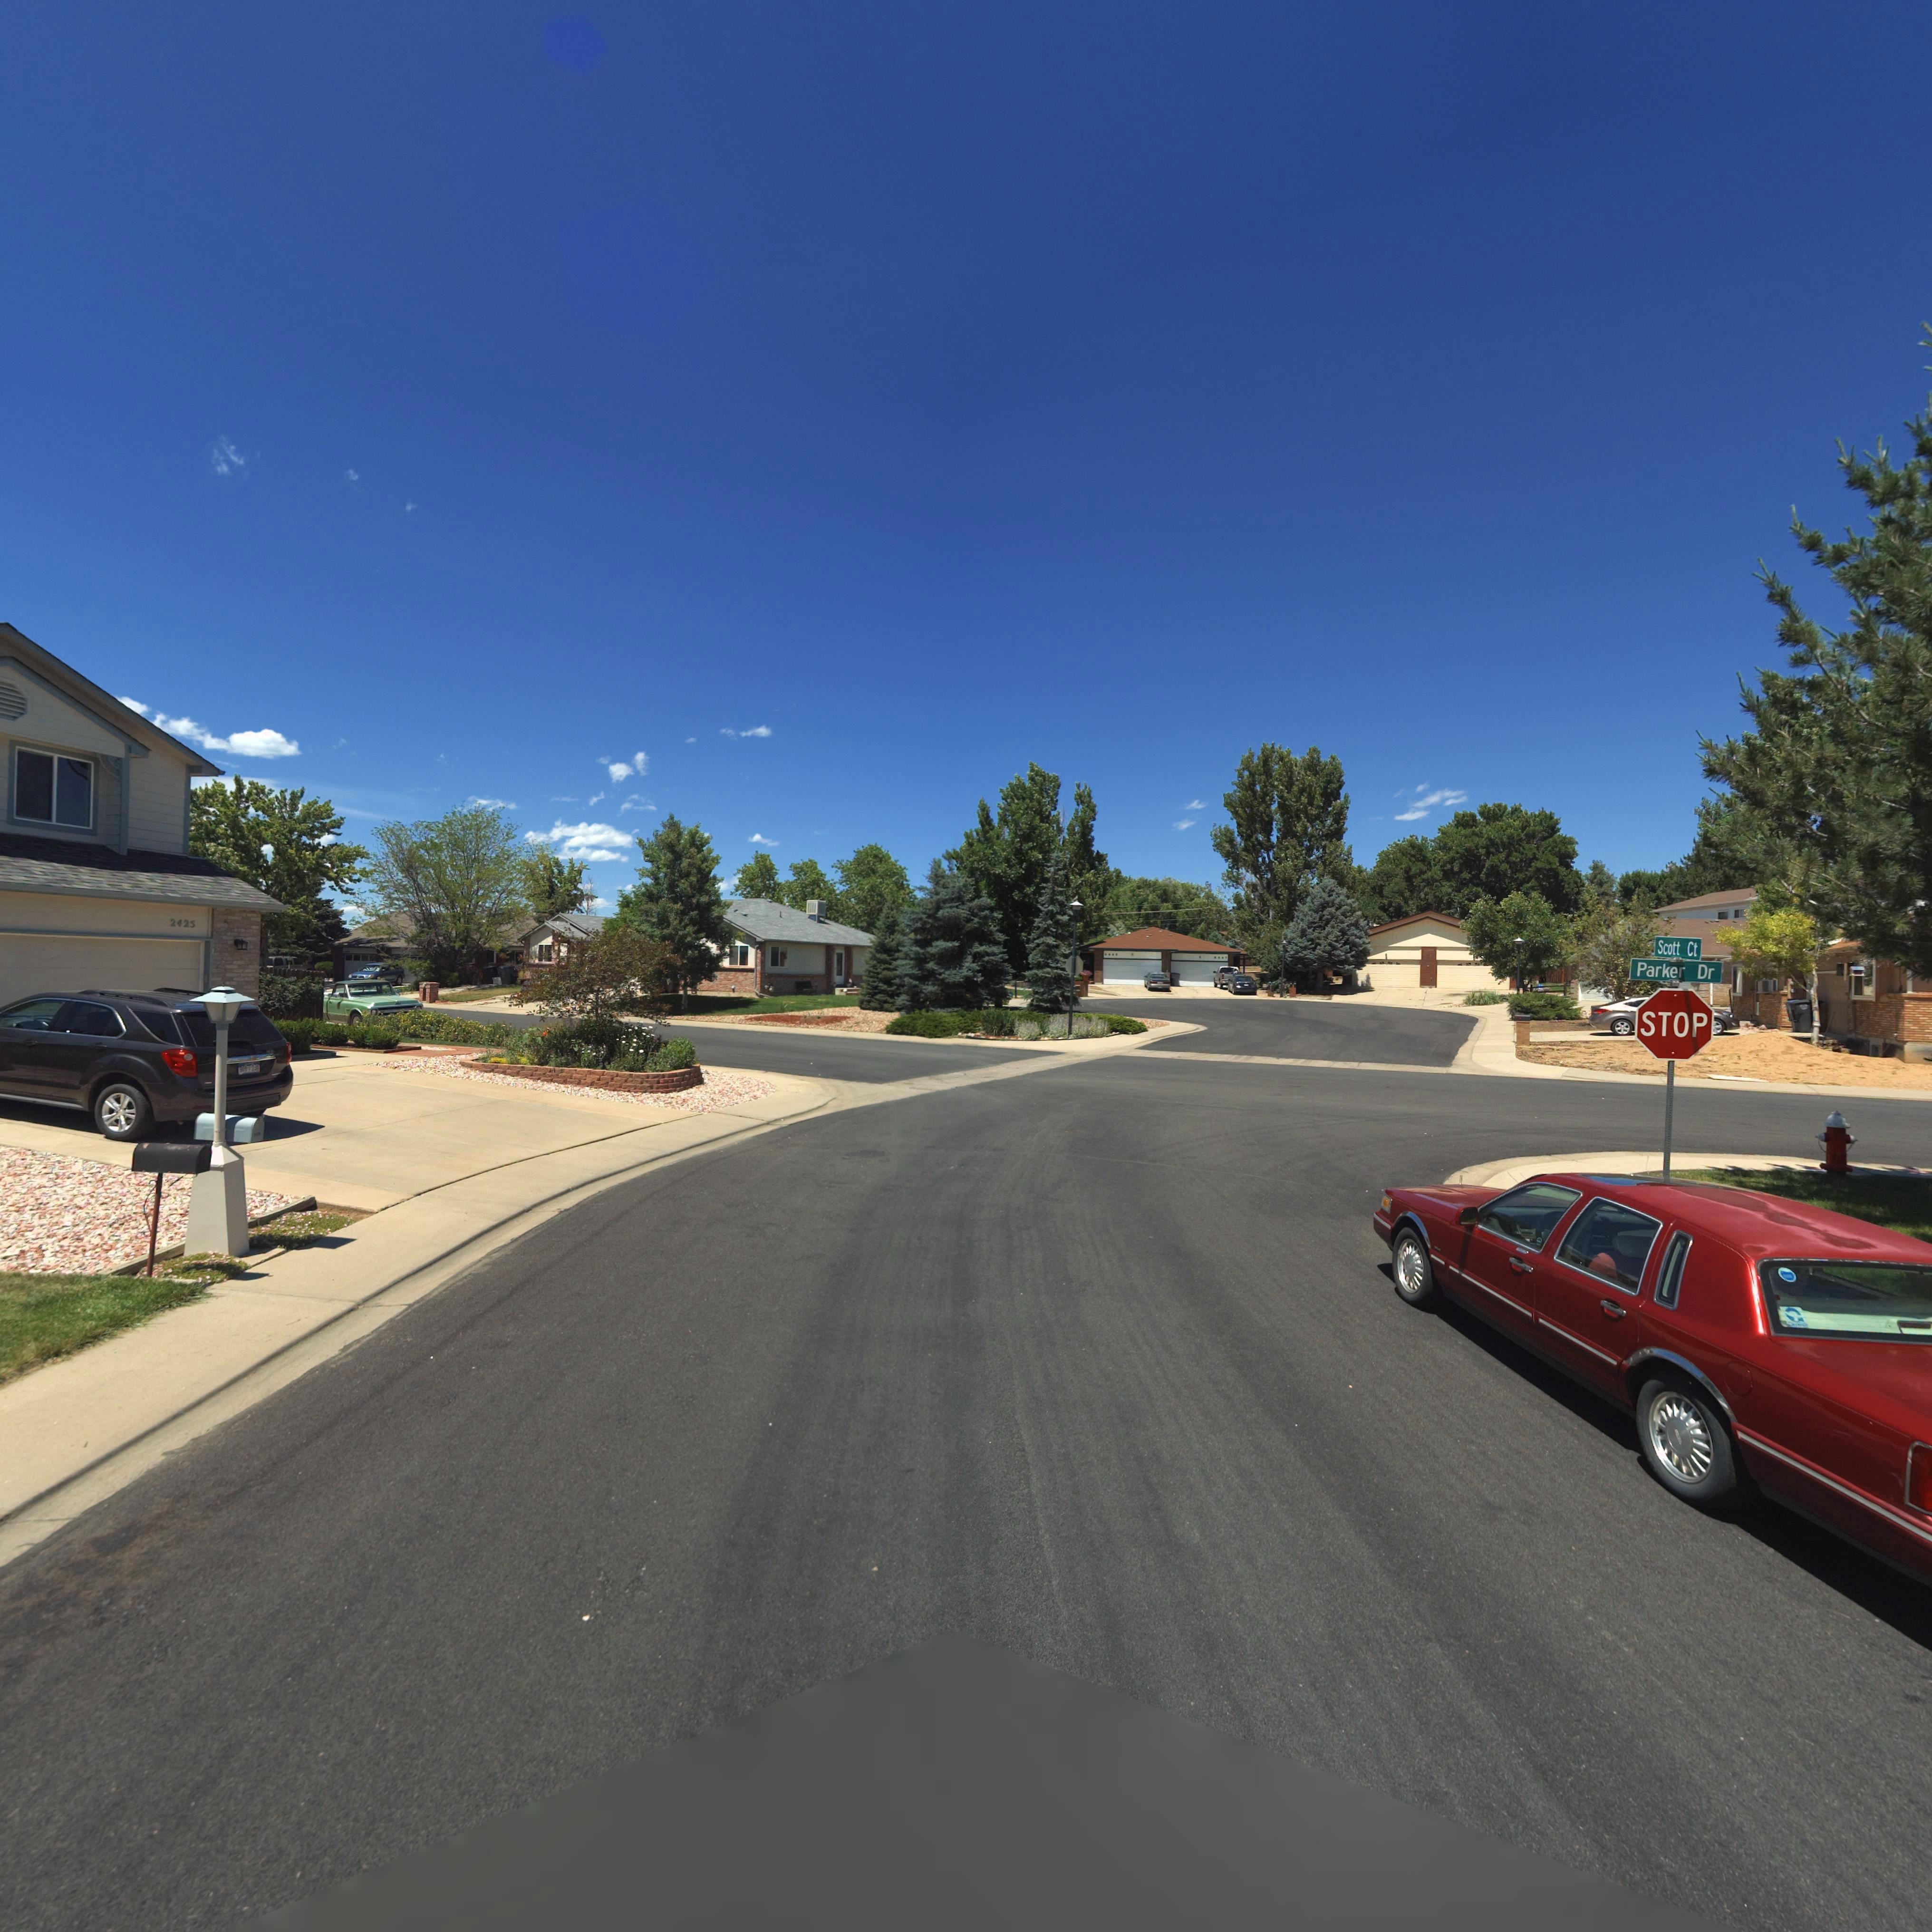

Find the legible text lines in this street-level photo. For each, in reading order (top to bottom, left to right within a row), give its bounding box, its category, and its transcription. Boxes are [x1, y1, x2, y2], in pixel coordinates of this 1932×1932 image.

[170, 918, 195, 928] StreetNumber: 2425
[1657, 939, 1698, 957] StreetName: Scott Ct
[1636, 961, 1715, 980] StreetName: Parker Dr